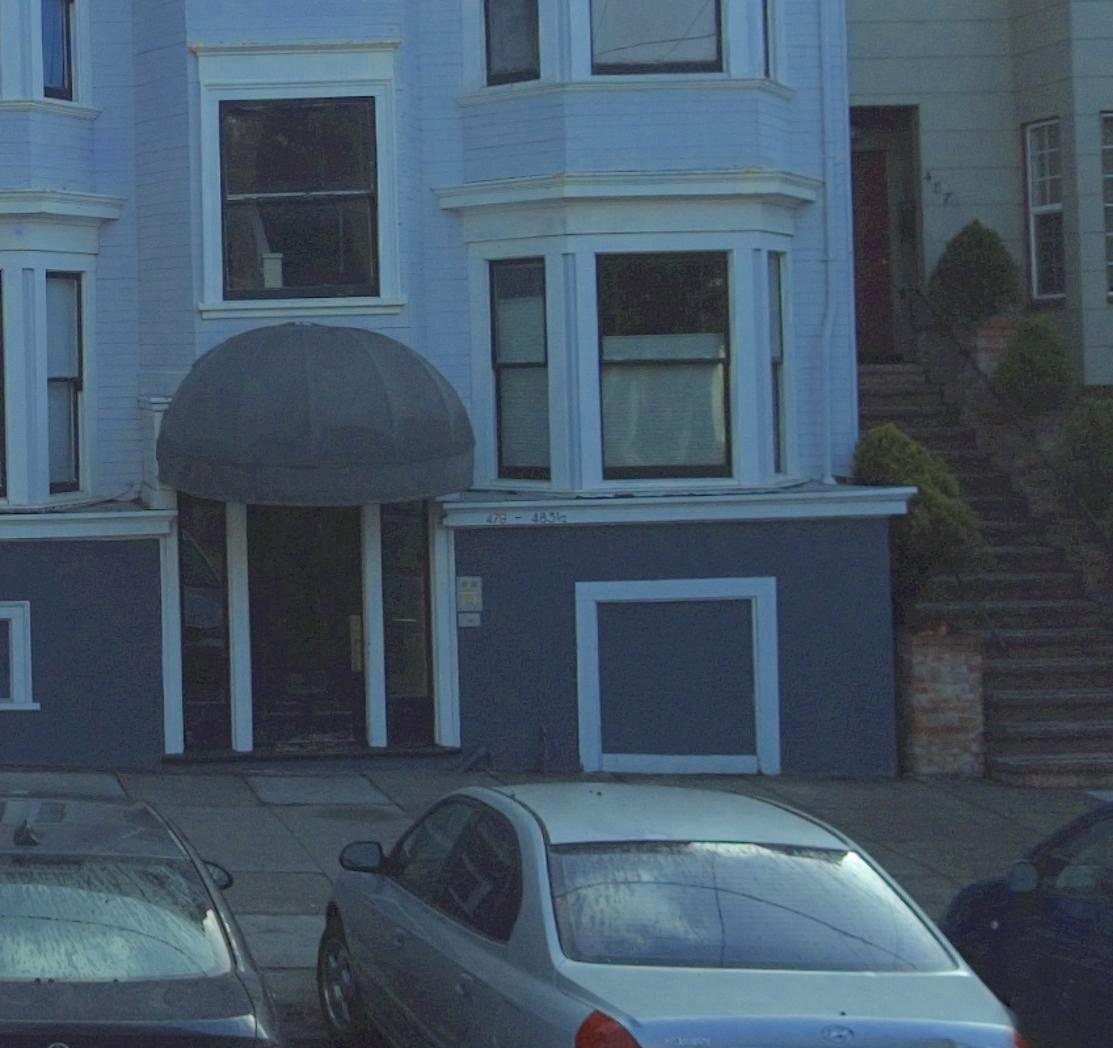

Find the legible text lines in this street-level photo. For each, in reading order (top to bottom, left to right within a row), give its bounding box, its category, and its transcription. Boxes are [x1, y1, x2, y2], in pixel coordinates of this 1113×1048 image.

[916, 168, 964, 207] None: 487
[483, 510, 507, 526] StreetNumber: 479
[530, 512, 570, 525] StreetNumber: 483*